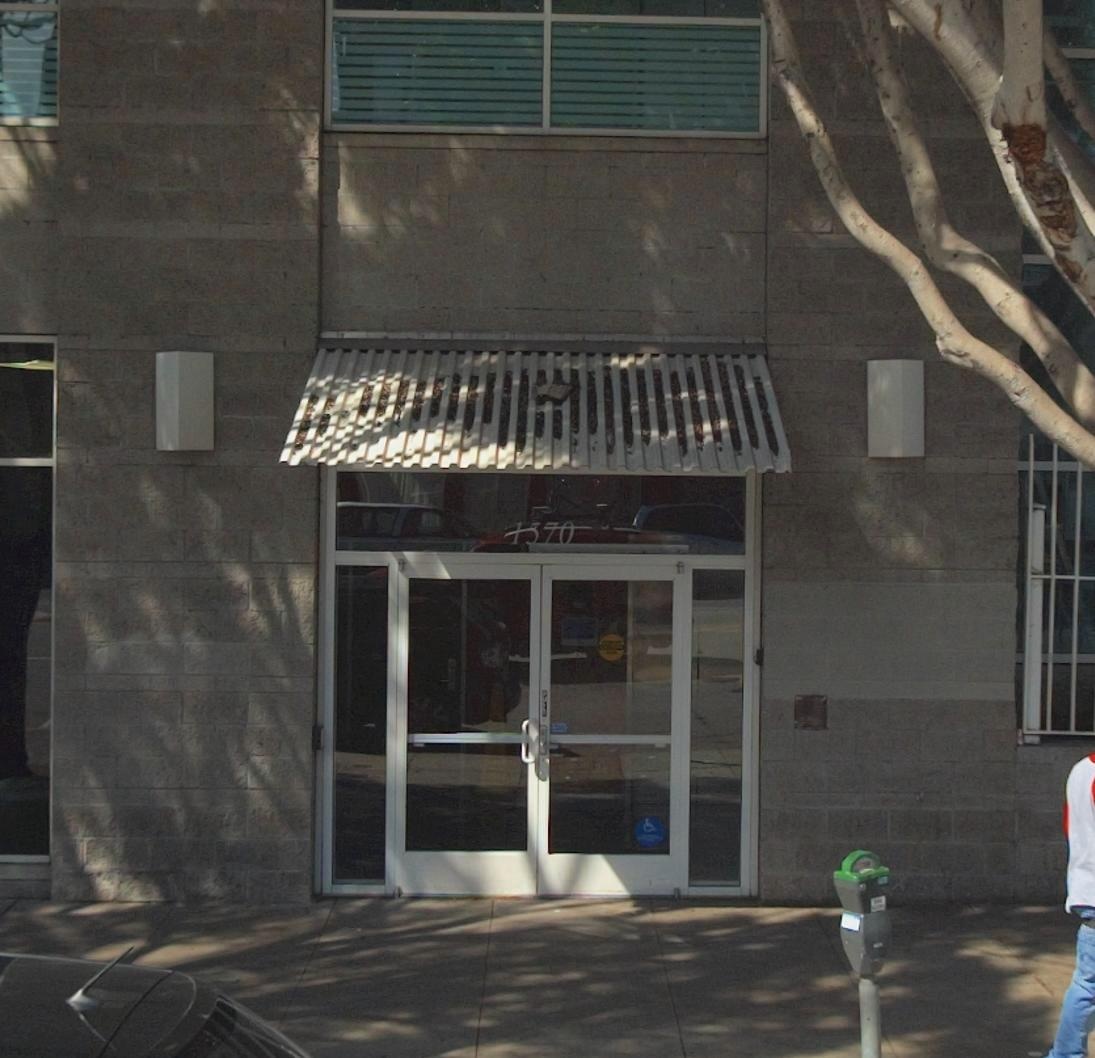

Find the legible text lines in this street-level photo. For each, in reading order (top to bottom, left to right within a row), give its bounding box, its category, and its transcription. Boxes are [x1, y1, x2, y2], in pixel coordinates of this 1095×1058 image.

[507, 518, 580, 549] StreetNumber: 1570